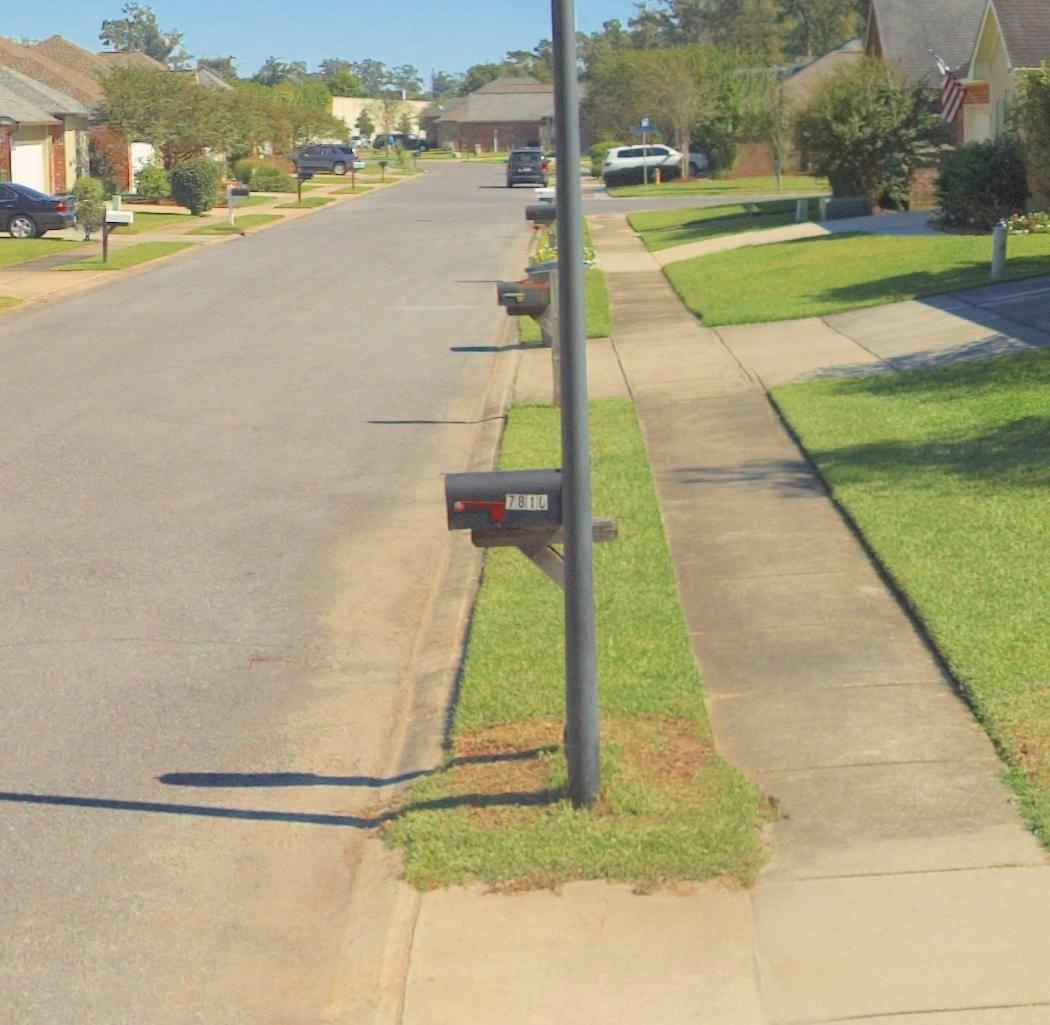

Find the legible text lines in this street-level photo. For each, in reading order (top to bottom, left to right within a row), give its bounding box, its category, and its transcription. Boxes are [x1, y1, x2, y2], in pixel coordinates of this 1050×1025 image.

[505, 492, 548, 511] StreetNumber: 7810